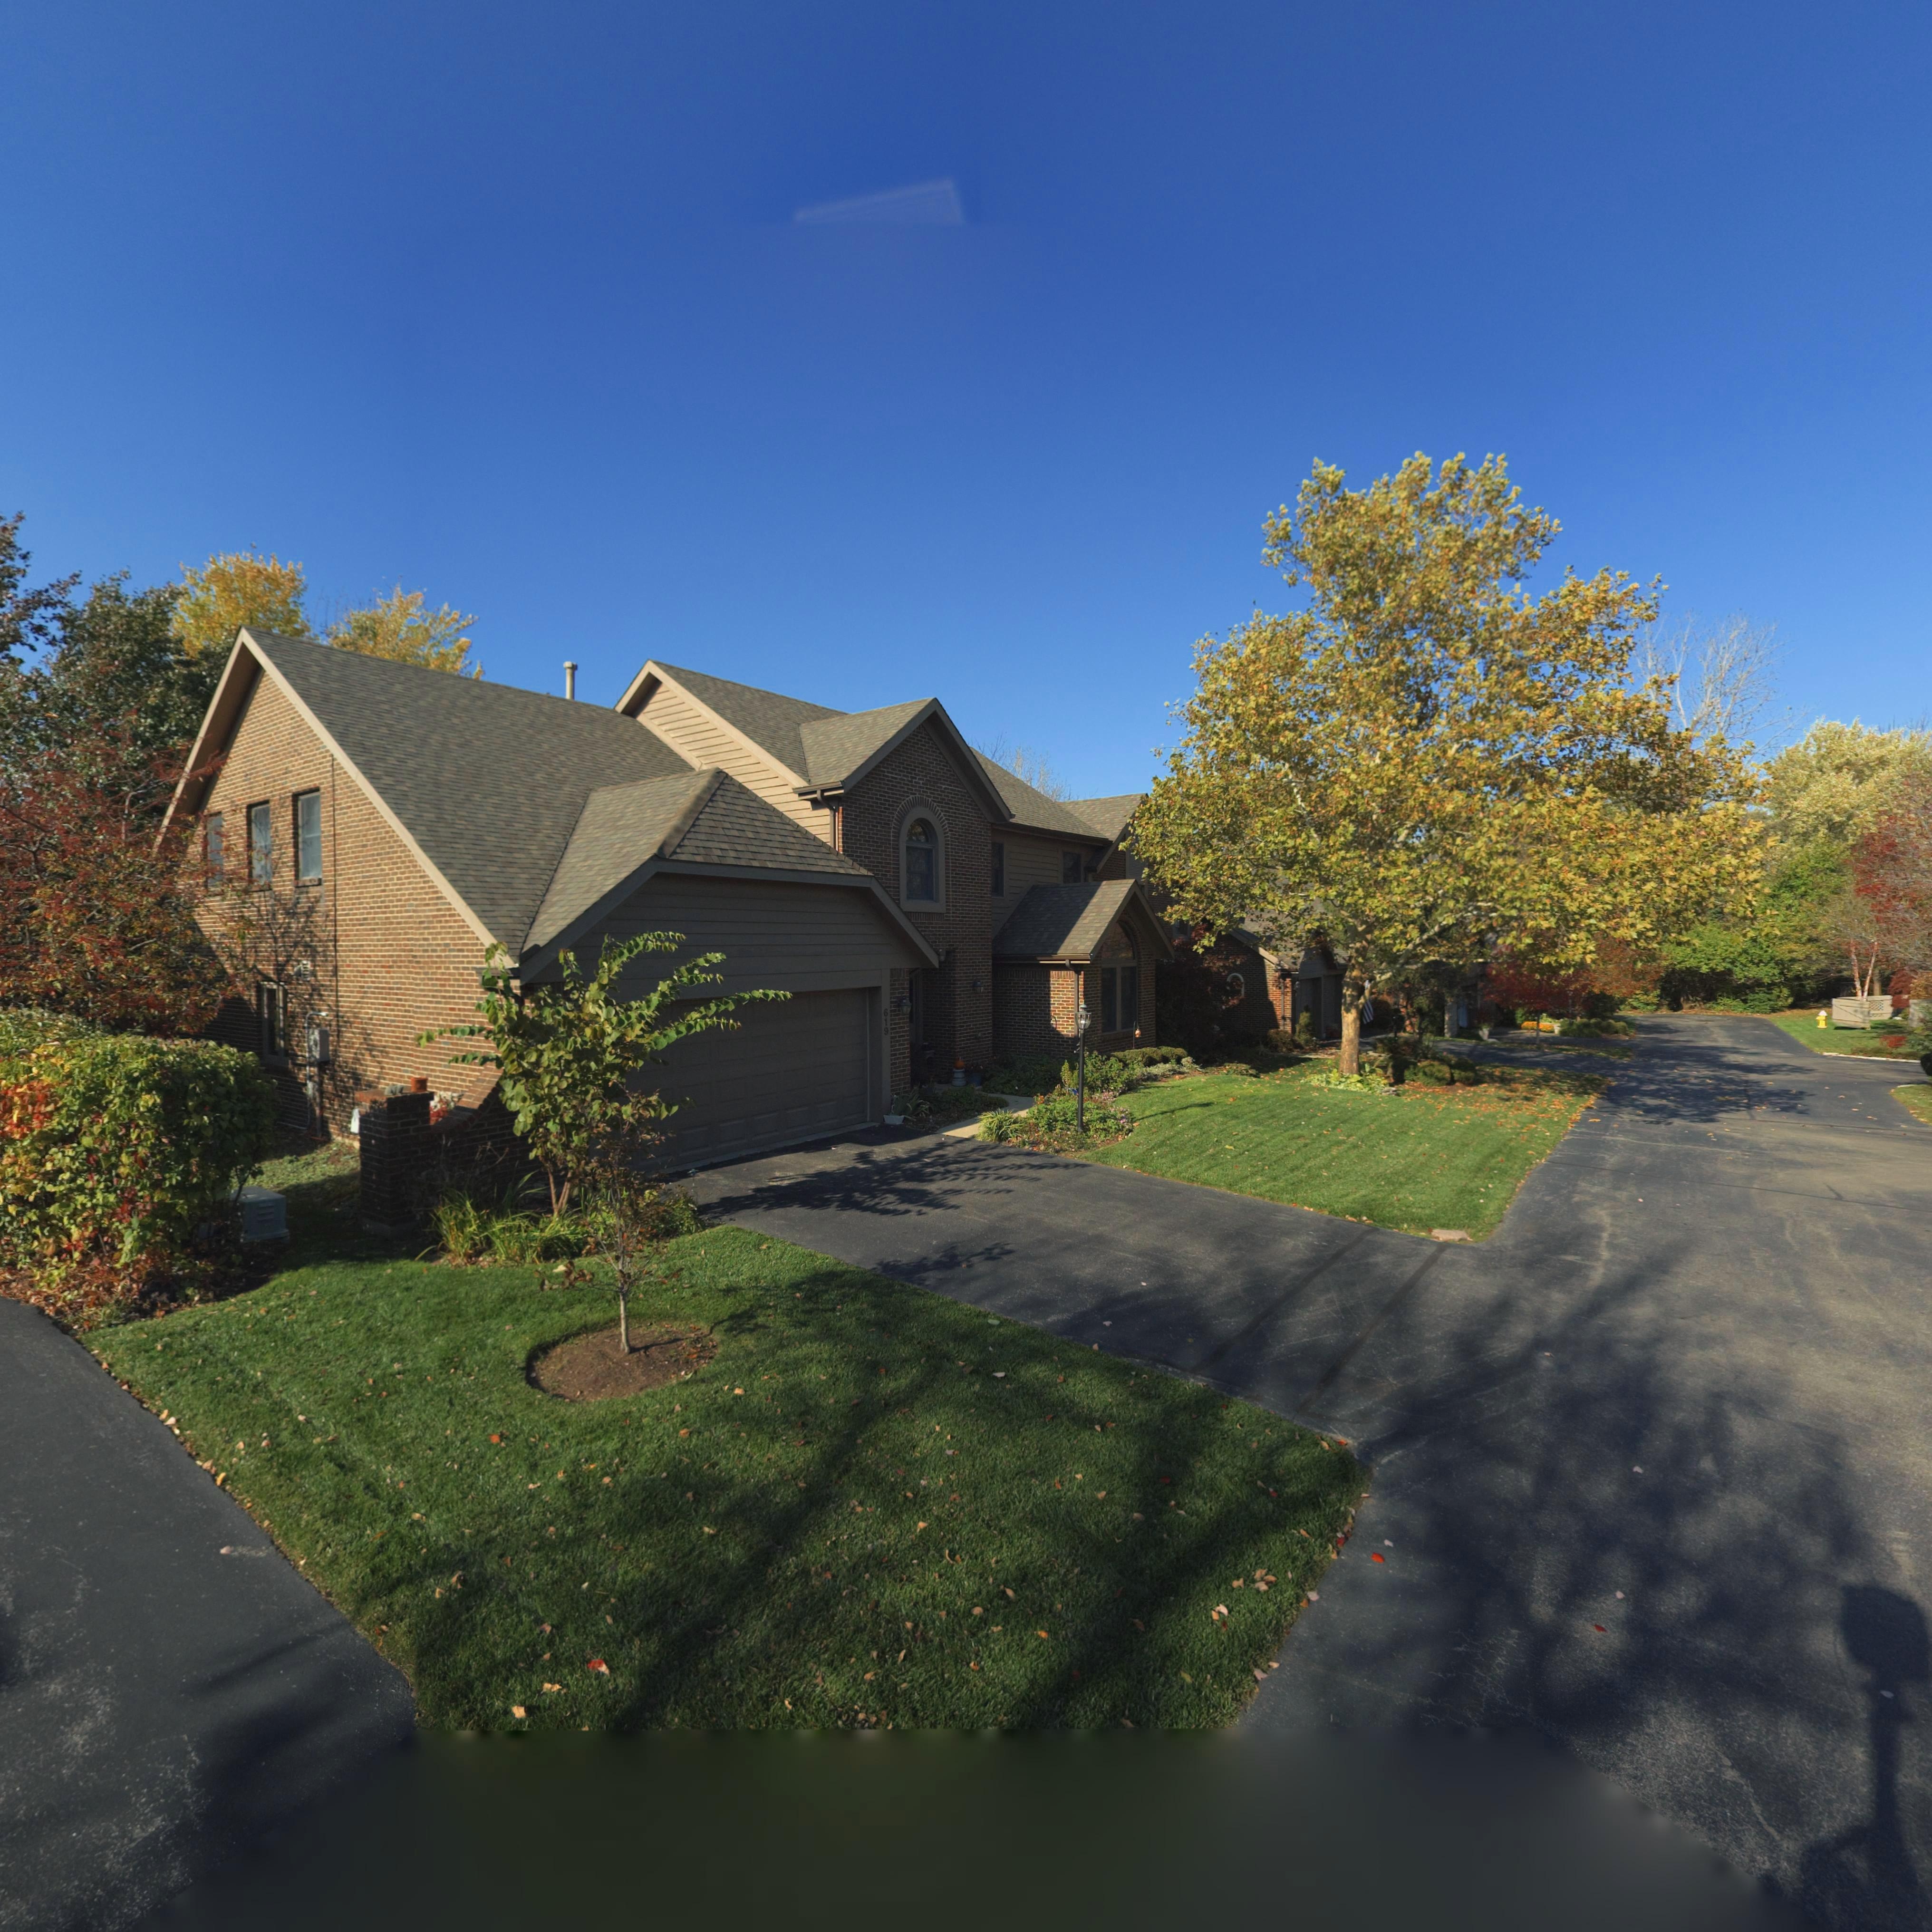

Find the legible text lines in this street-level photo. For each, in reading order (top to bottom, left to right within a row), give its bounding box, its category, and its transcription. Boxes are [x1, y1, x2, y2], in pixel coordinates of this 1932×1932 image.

[882, 1007, 889, 1036] StreetNumber: 619